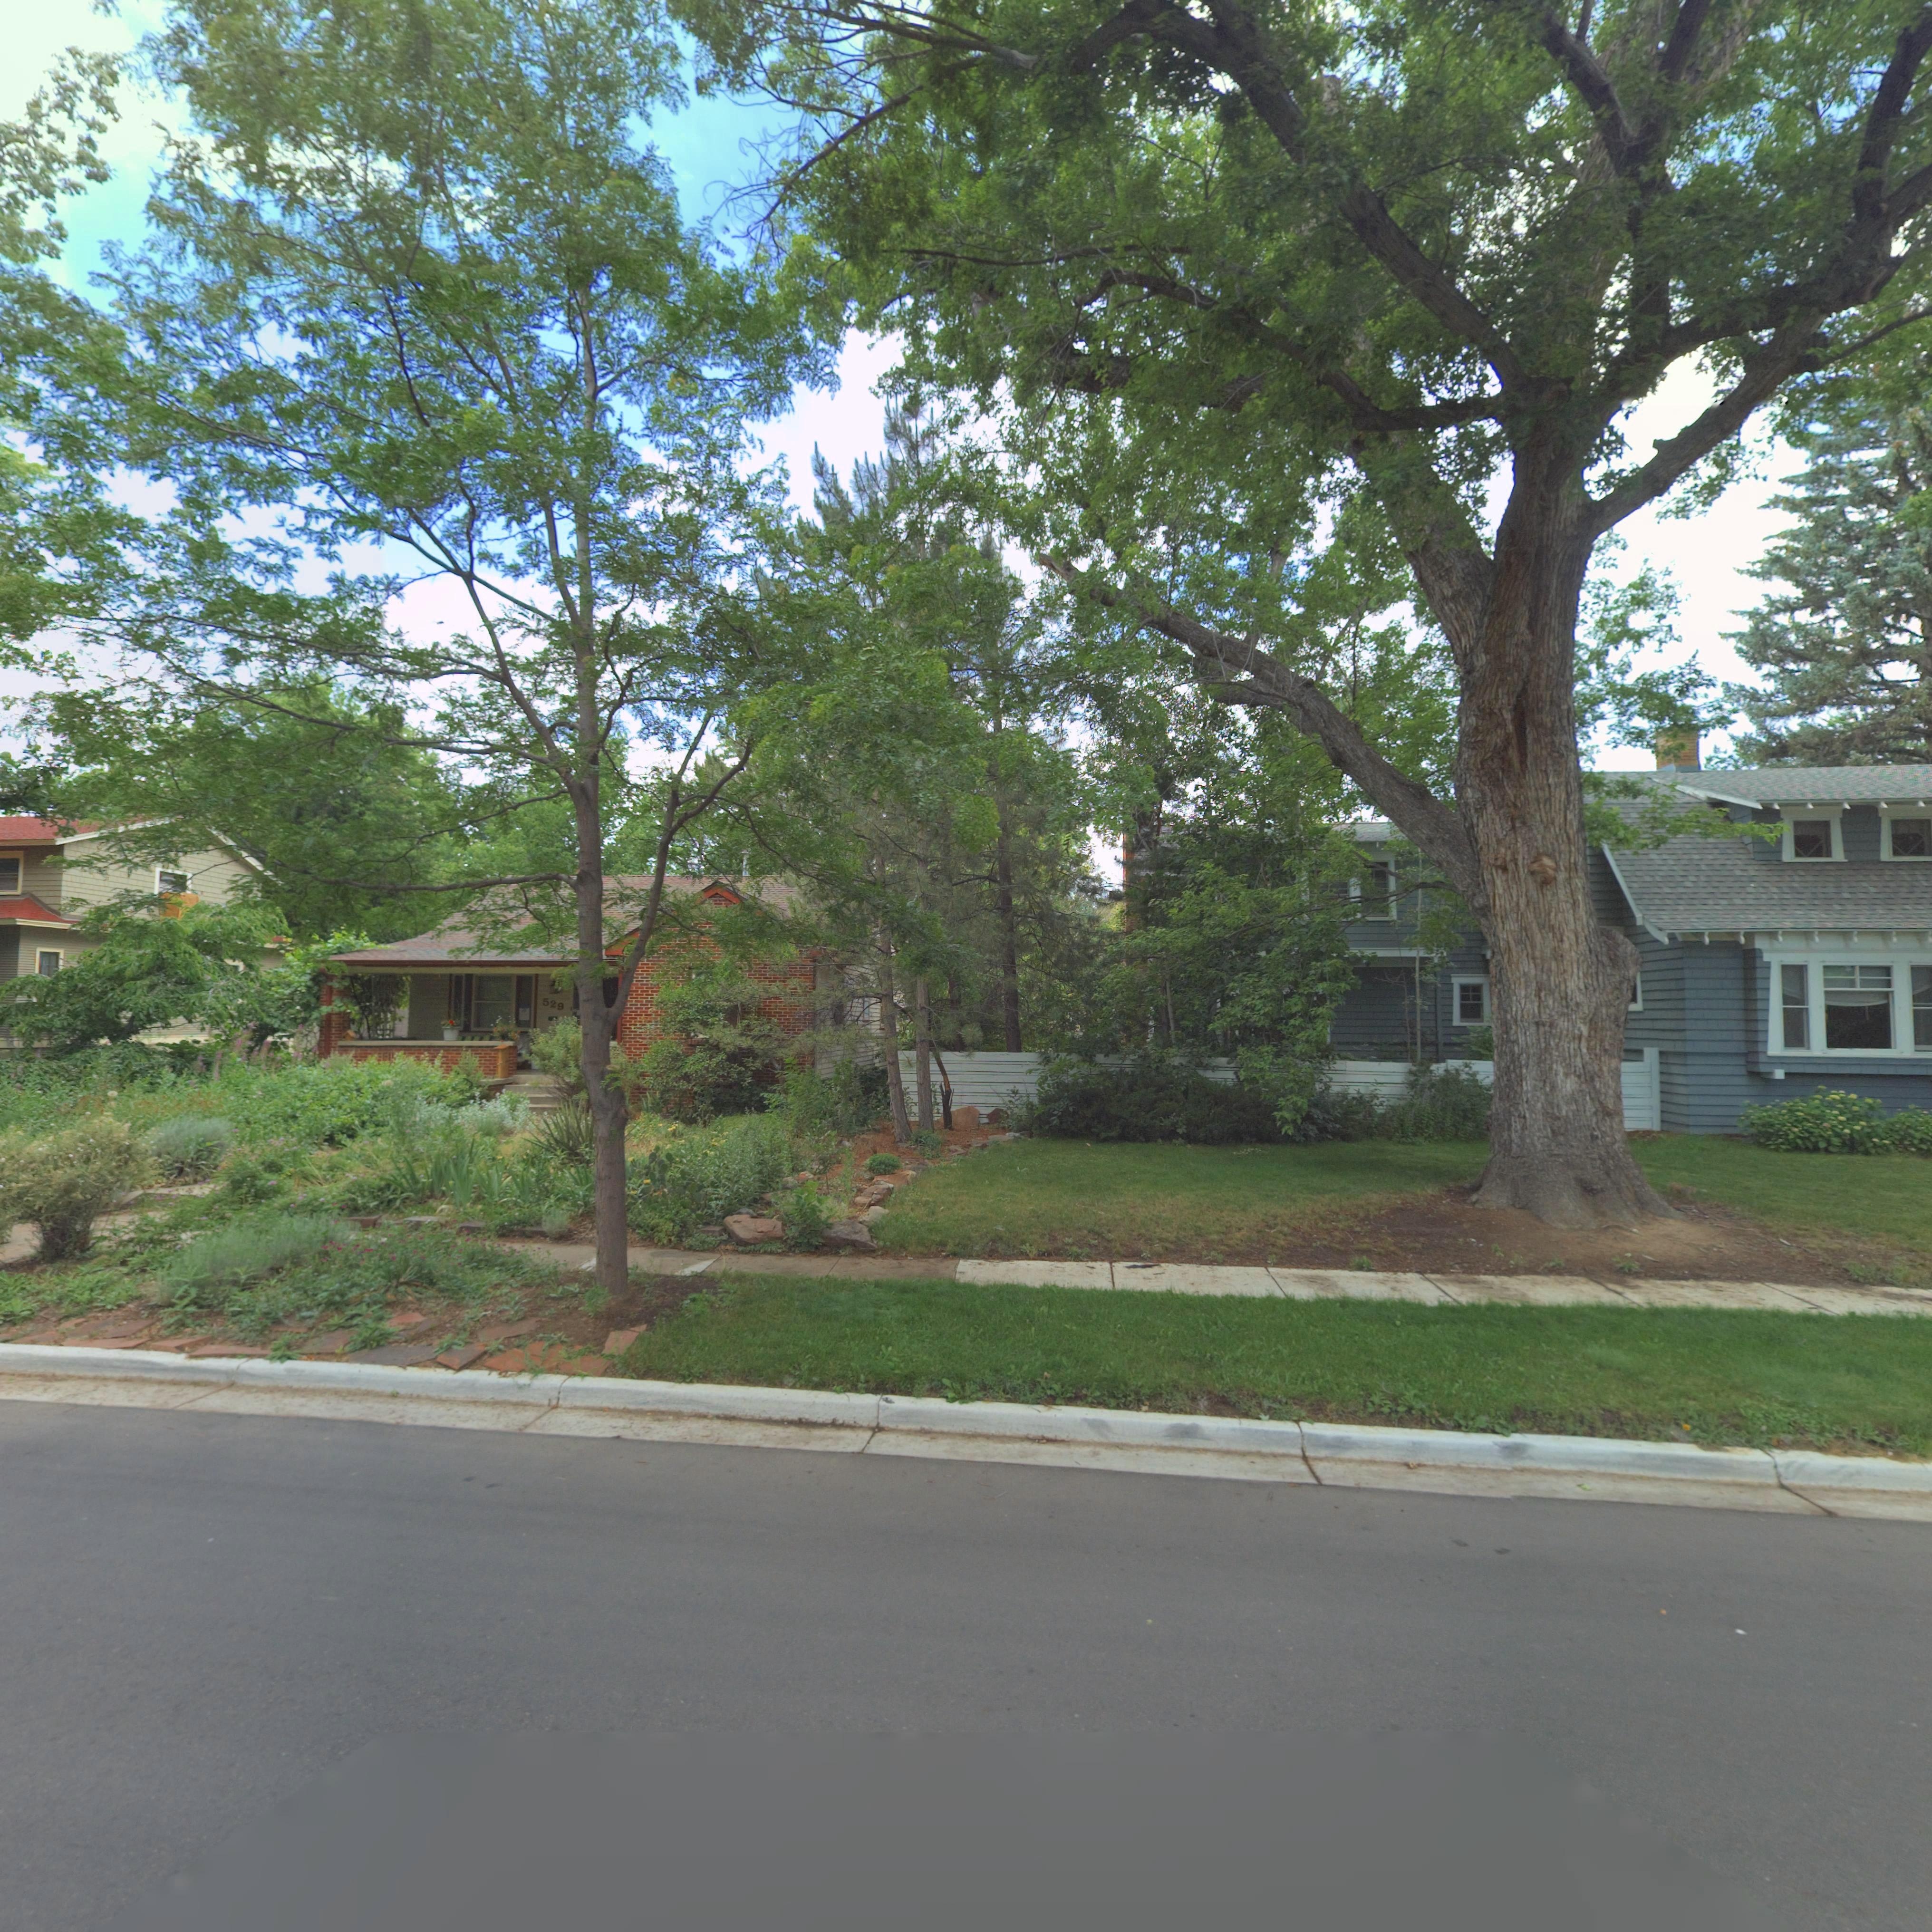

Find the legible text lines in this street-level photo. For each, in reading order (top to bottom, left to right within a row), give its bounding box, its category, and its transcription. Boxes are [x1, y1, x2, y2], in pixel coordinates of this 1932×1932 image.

[541, 997, 564, 1011] StreetNumber: 529